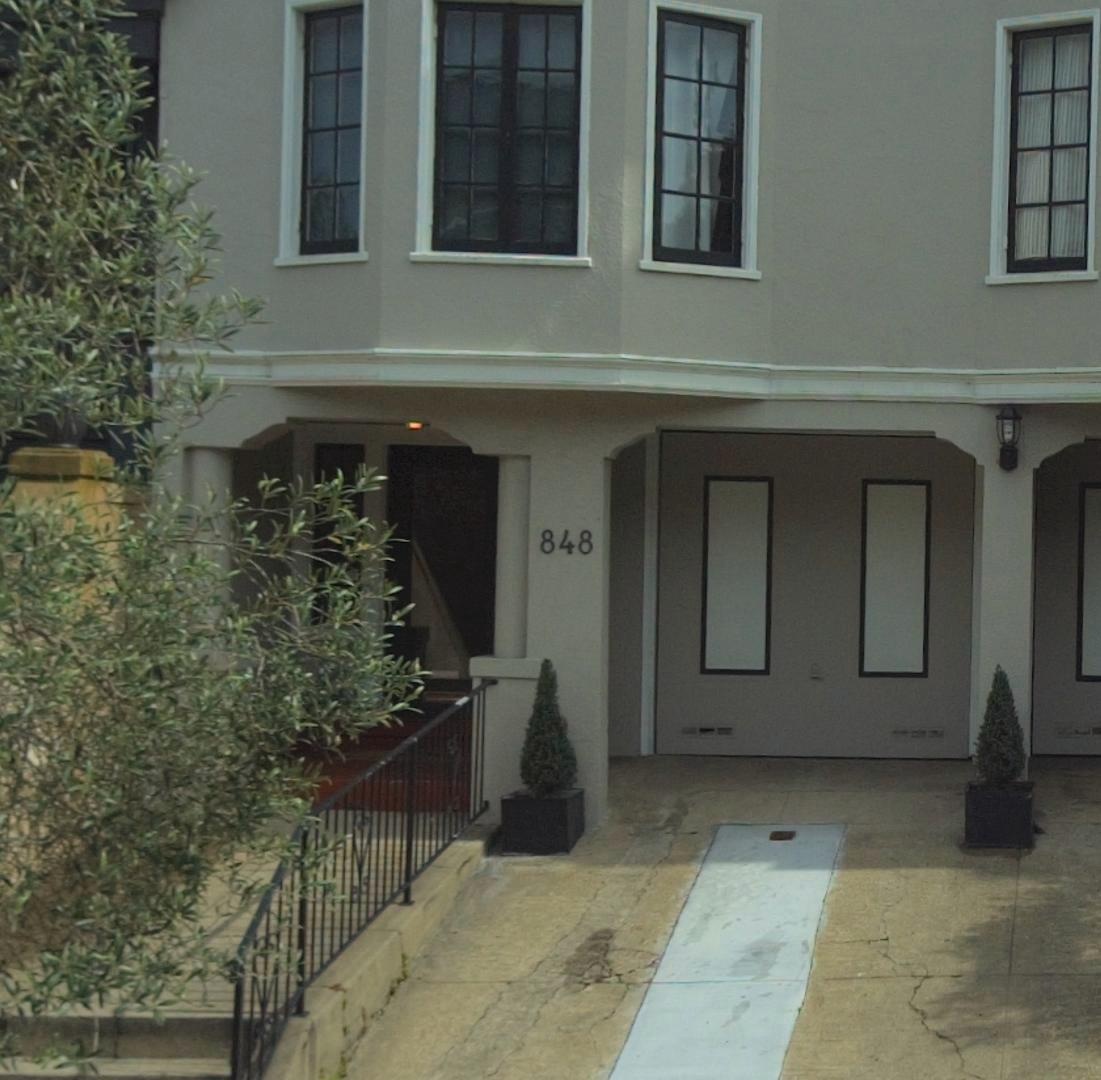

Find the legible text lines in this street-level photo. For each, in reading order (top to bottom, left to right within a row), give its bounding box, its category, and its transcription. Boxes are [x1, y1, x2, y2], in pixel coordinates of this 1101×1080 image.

[538, 527, 595, 557] StreetNumber: 848